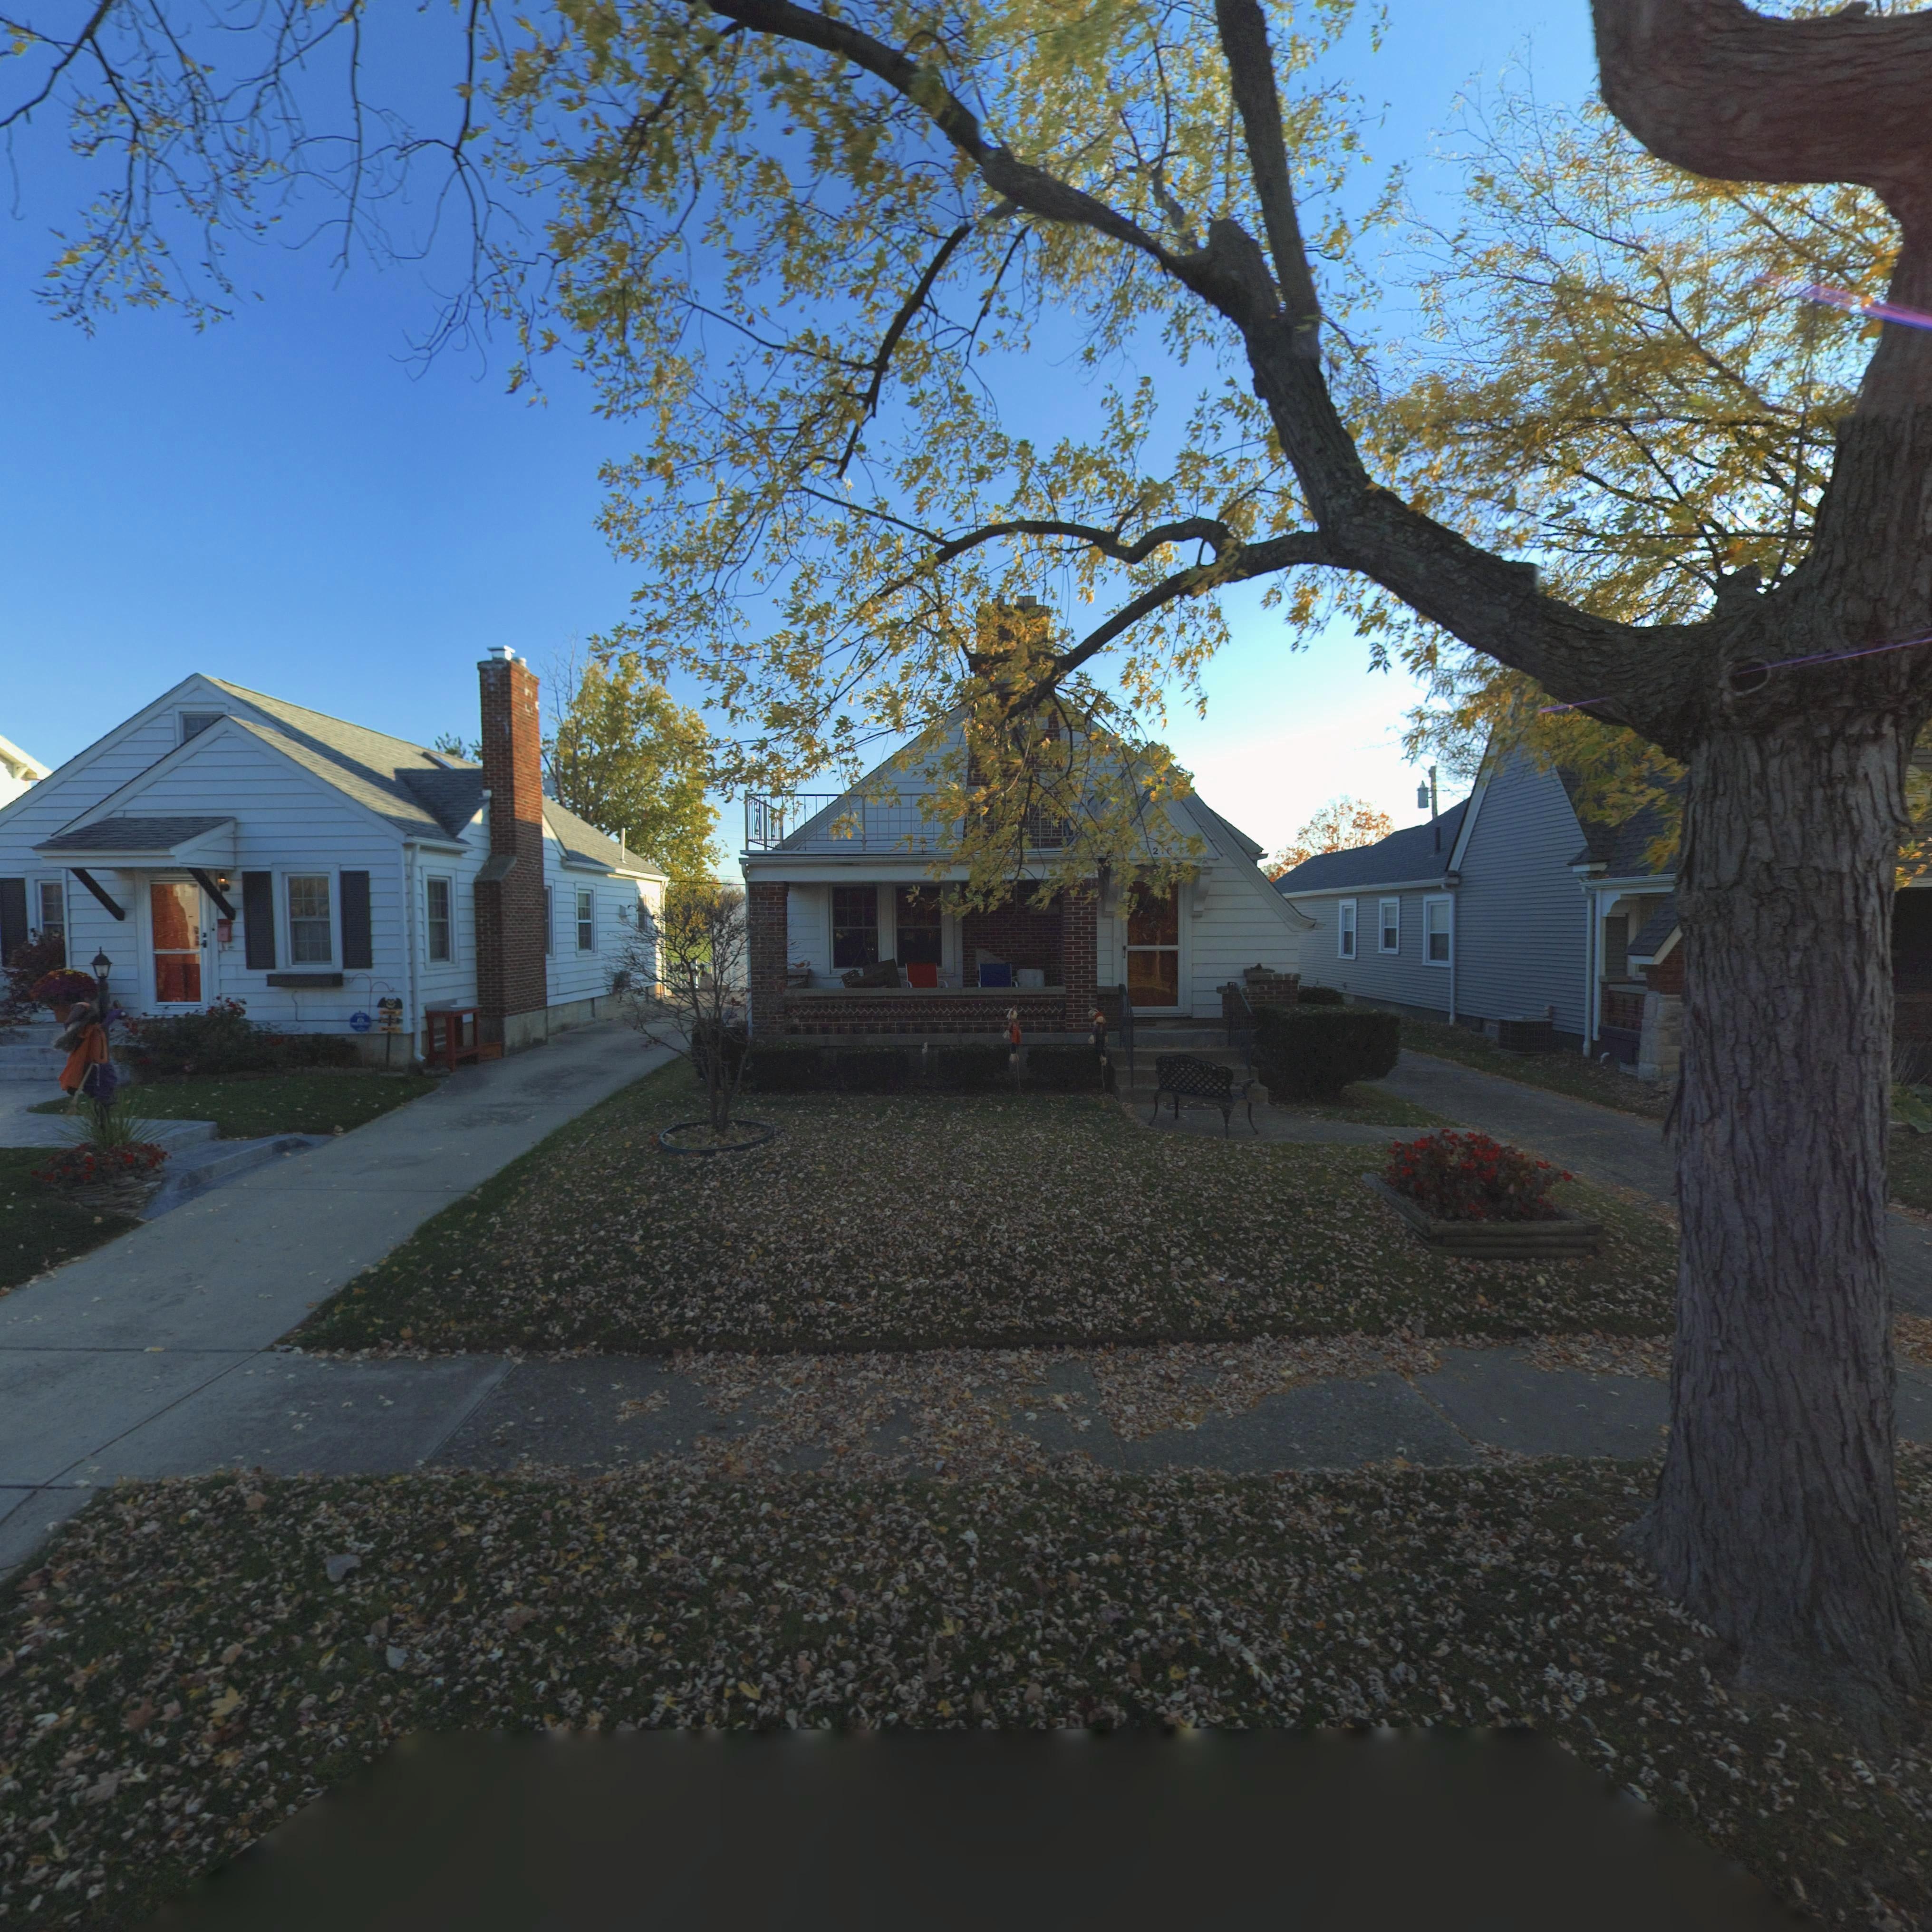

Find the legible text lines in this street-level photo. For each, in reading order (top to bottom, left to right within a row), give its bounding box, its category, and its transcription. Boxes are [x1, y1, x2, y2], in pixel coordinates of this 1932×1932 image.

[1152, 847, 1173, 855] StreetNumber: 2**